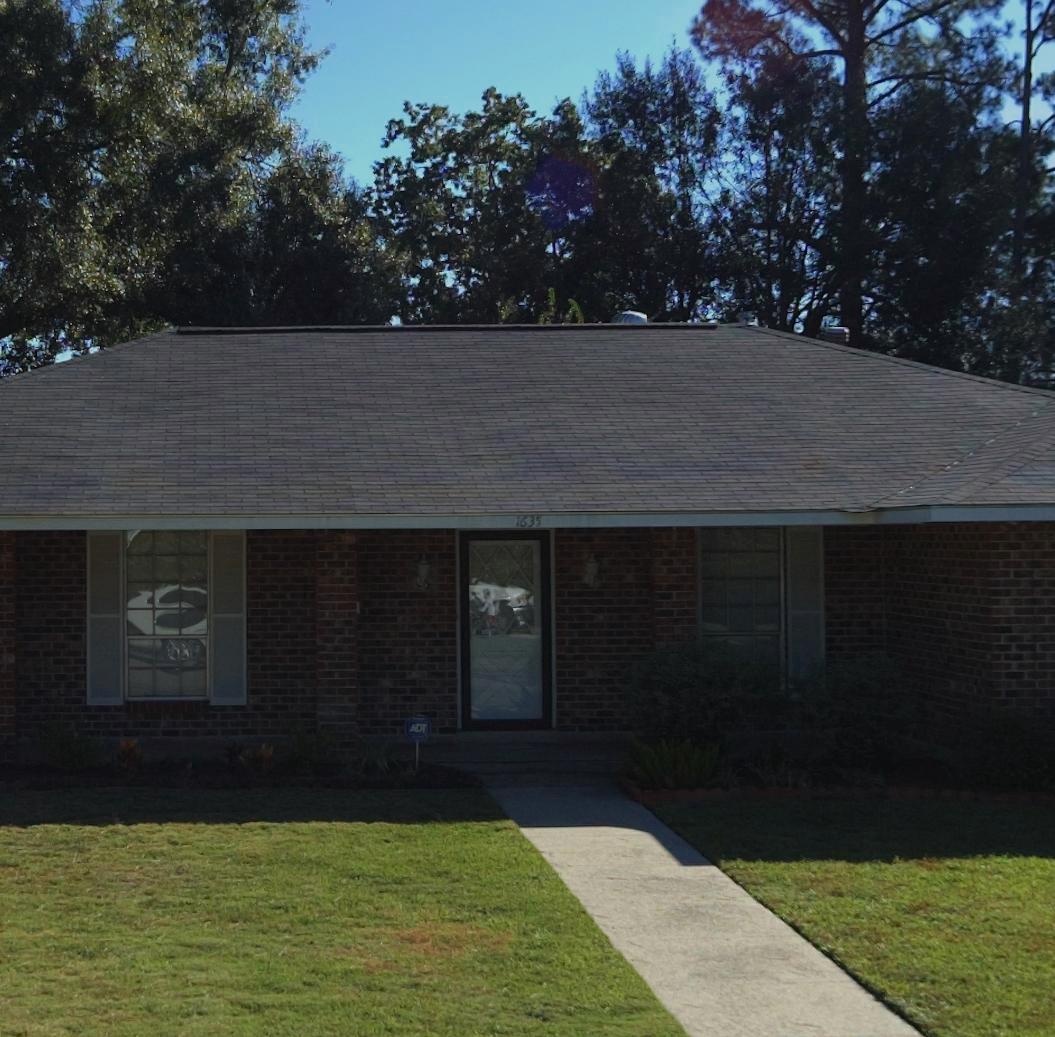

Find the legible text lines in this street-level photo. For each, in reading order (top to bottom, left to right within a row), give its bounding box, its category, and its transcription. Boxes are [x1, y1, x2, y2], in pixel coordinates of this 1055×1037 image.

[513, 513, 544, 529] StreetNumber: 1635
[406, 721, 429, 736] None: ADT